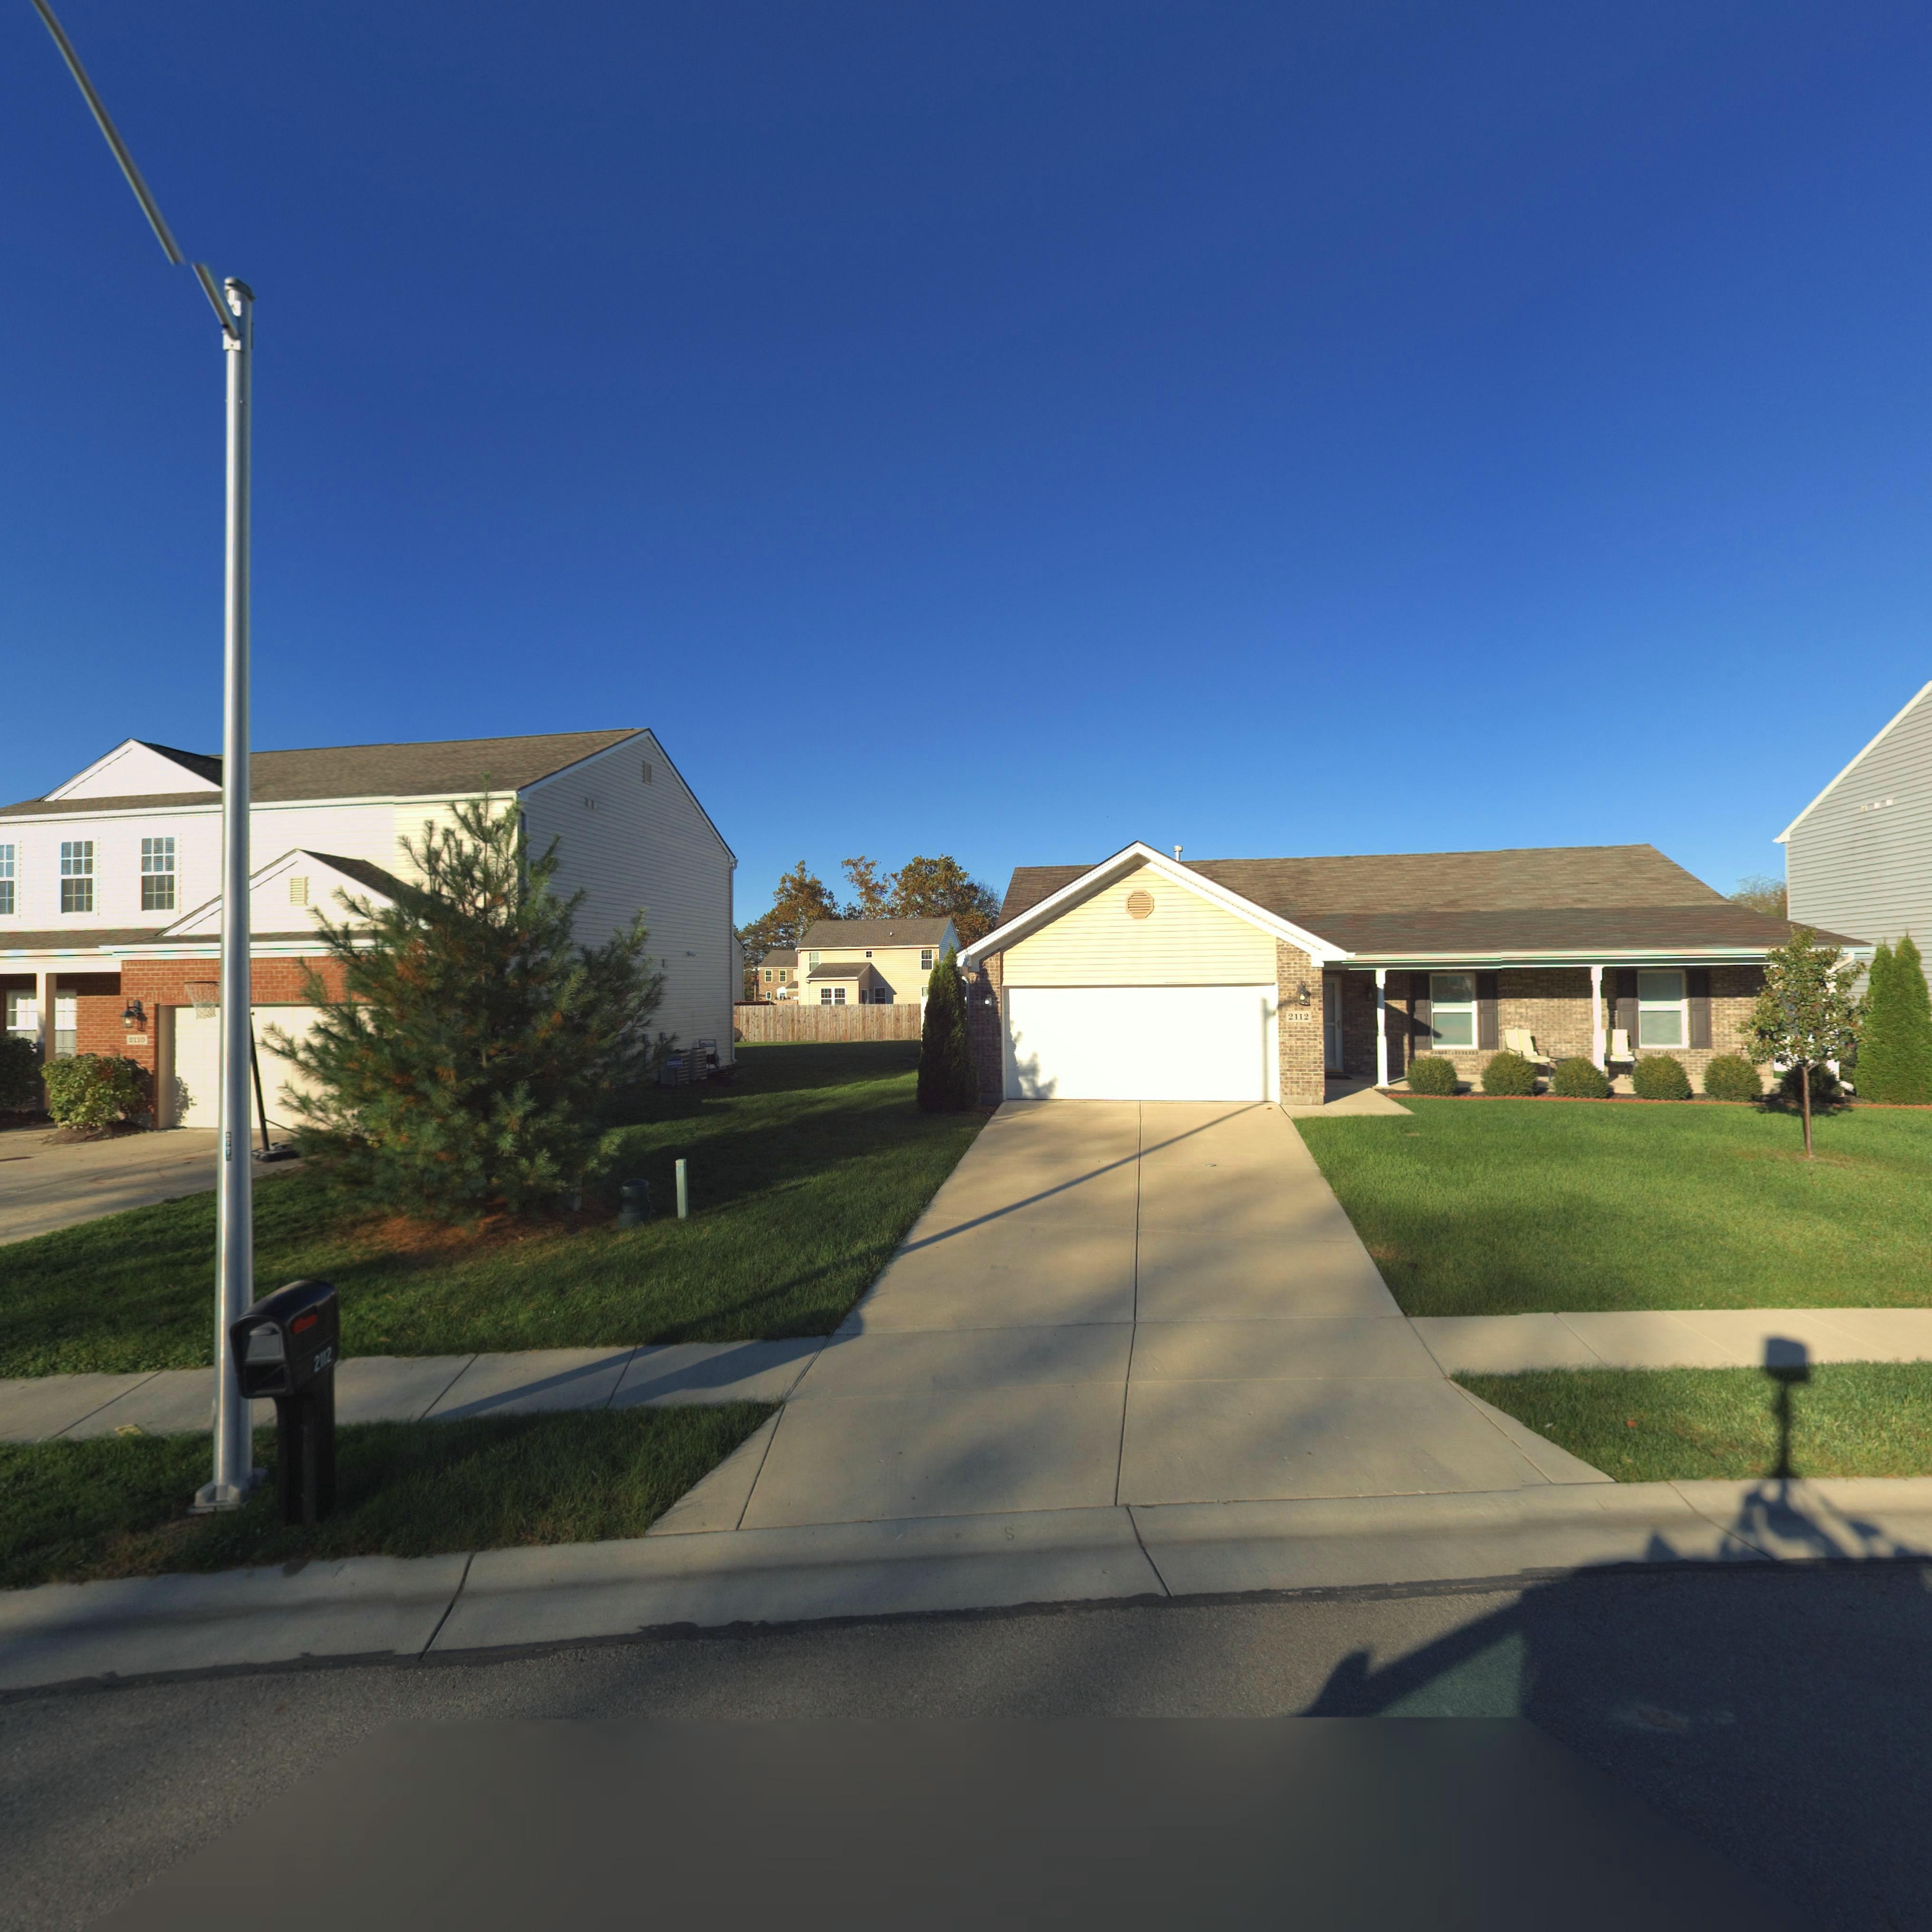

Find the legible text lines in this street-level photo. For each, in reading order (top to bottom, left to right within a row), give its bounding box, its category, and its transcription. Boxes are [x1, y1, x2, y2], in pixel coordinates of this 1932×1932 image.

[1287, 1012, 1310, 1021] StreetNumber: 2112
[127, 1035, 146, 1044] StreetNumber: 2110
[311, 1344, 334, 1375] StreetNumber: 2112